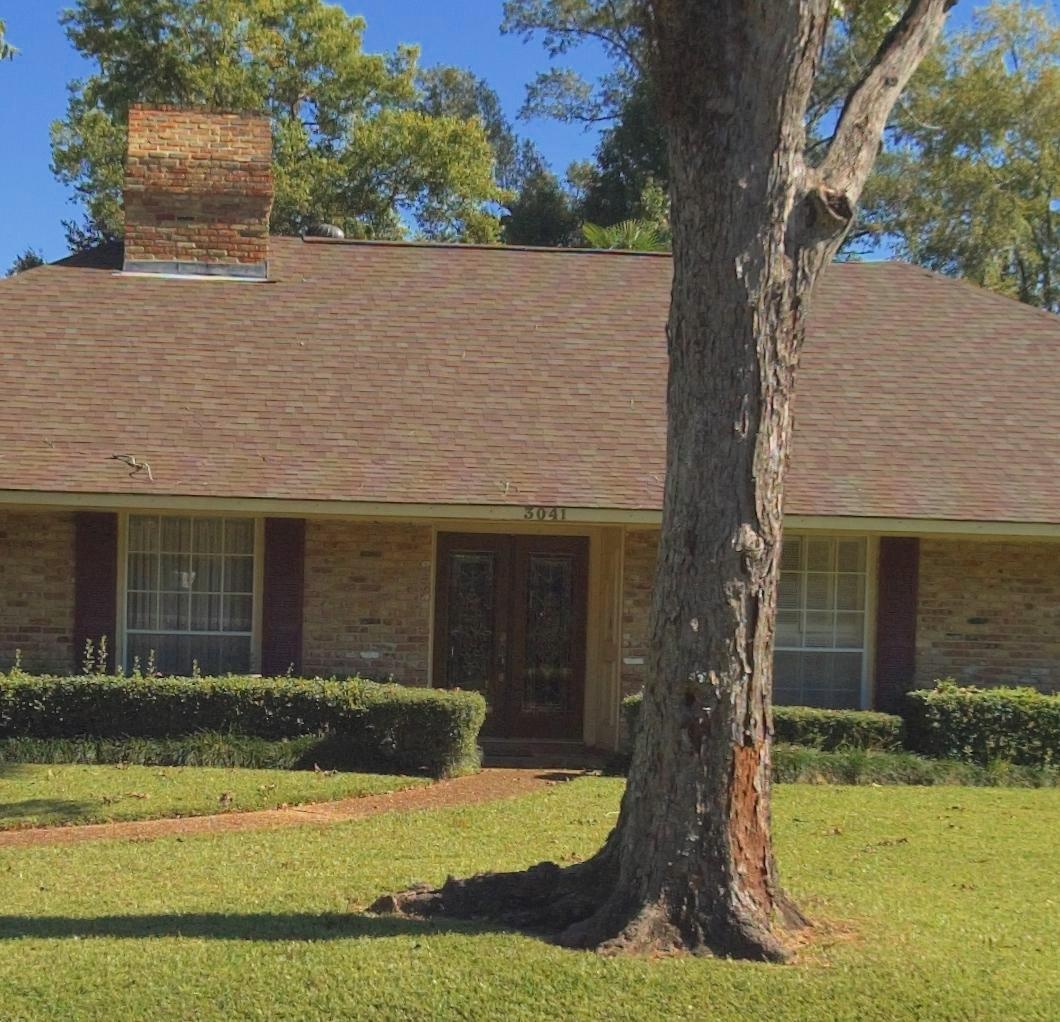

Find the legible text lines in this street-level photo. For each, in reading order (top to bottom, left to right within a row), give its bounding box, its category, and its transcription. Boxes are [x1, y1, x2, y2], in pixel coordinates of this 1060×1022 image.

[521, 503, 568, 523] StreetNumber: 3041